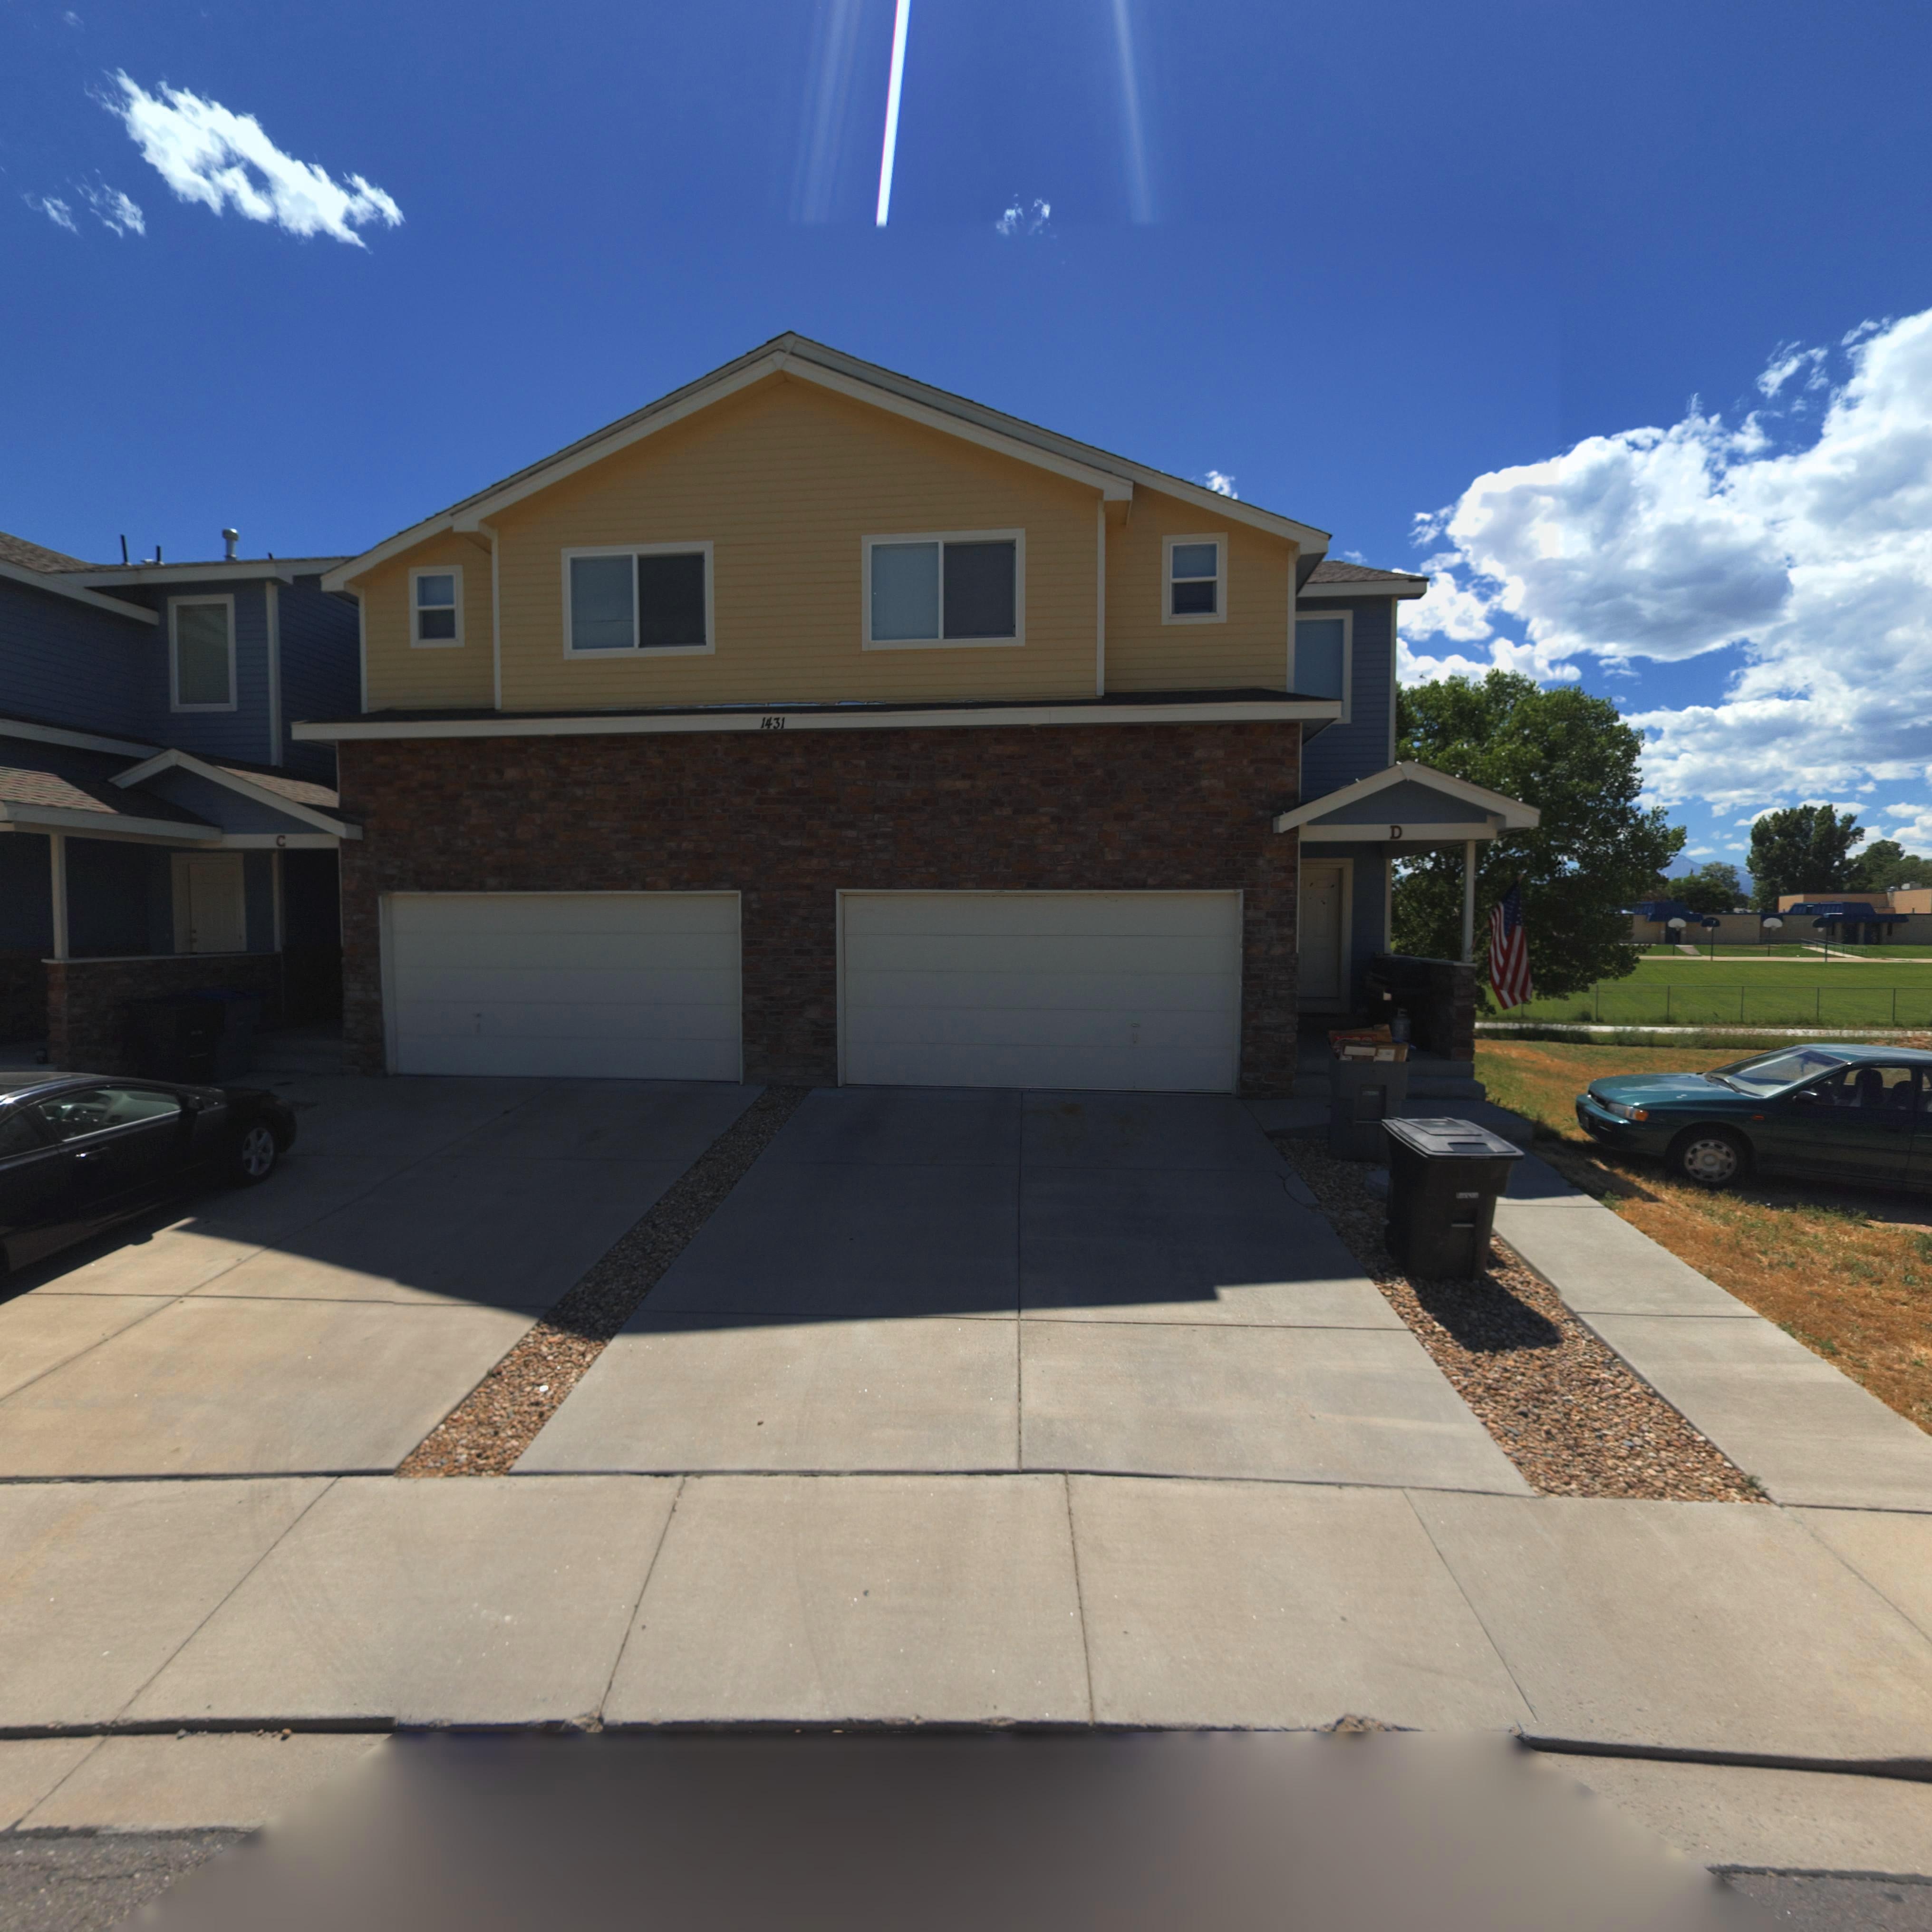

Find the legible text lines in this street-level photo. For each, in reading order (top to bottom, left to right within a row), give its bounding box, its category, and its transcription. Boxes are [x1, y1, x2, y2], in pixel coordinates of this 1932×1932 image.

[759, 715, 786, 730] StreetNumber: 1431